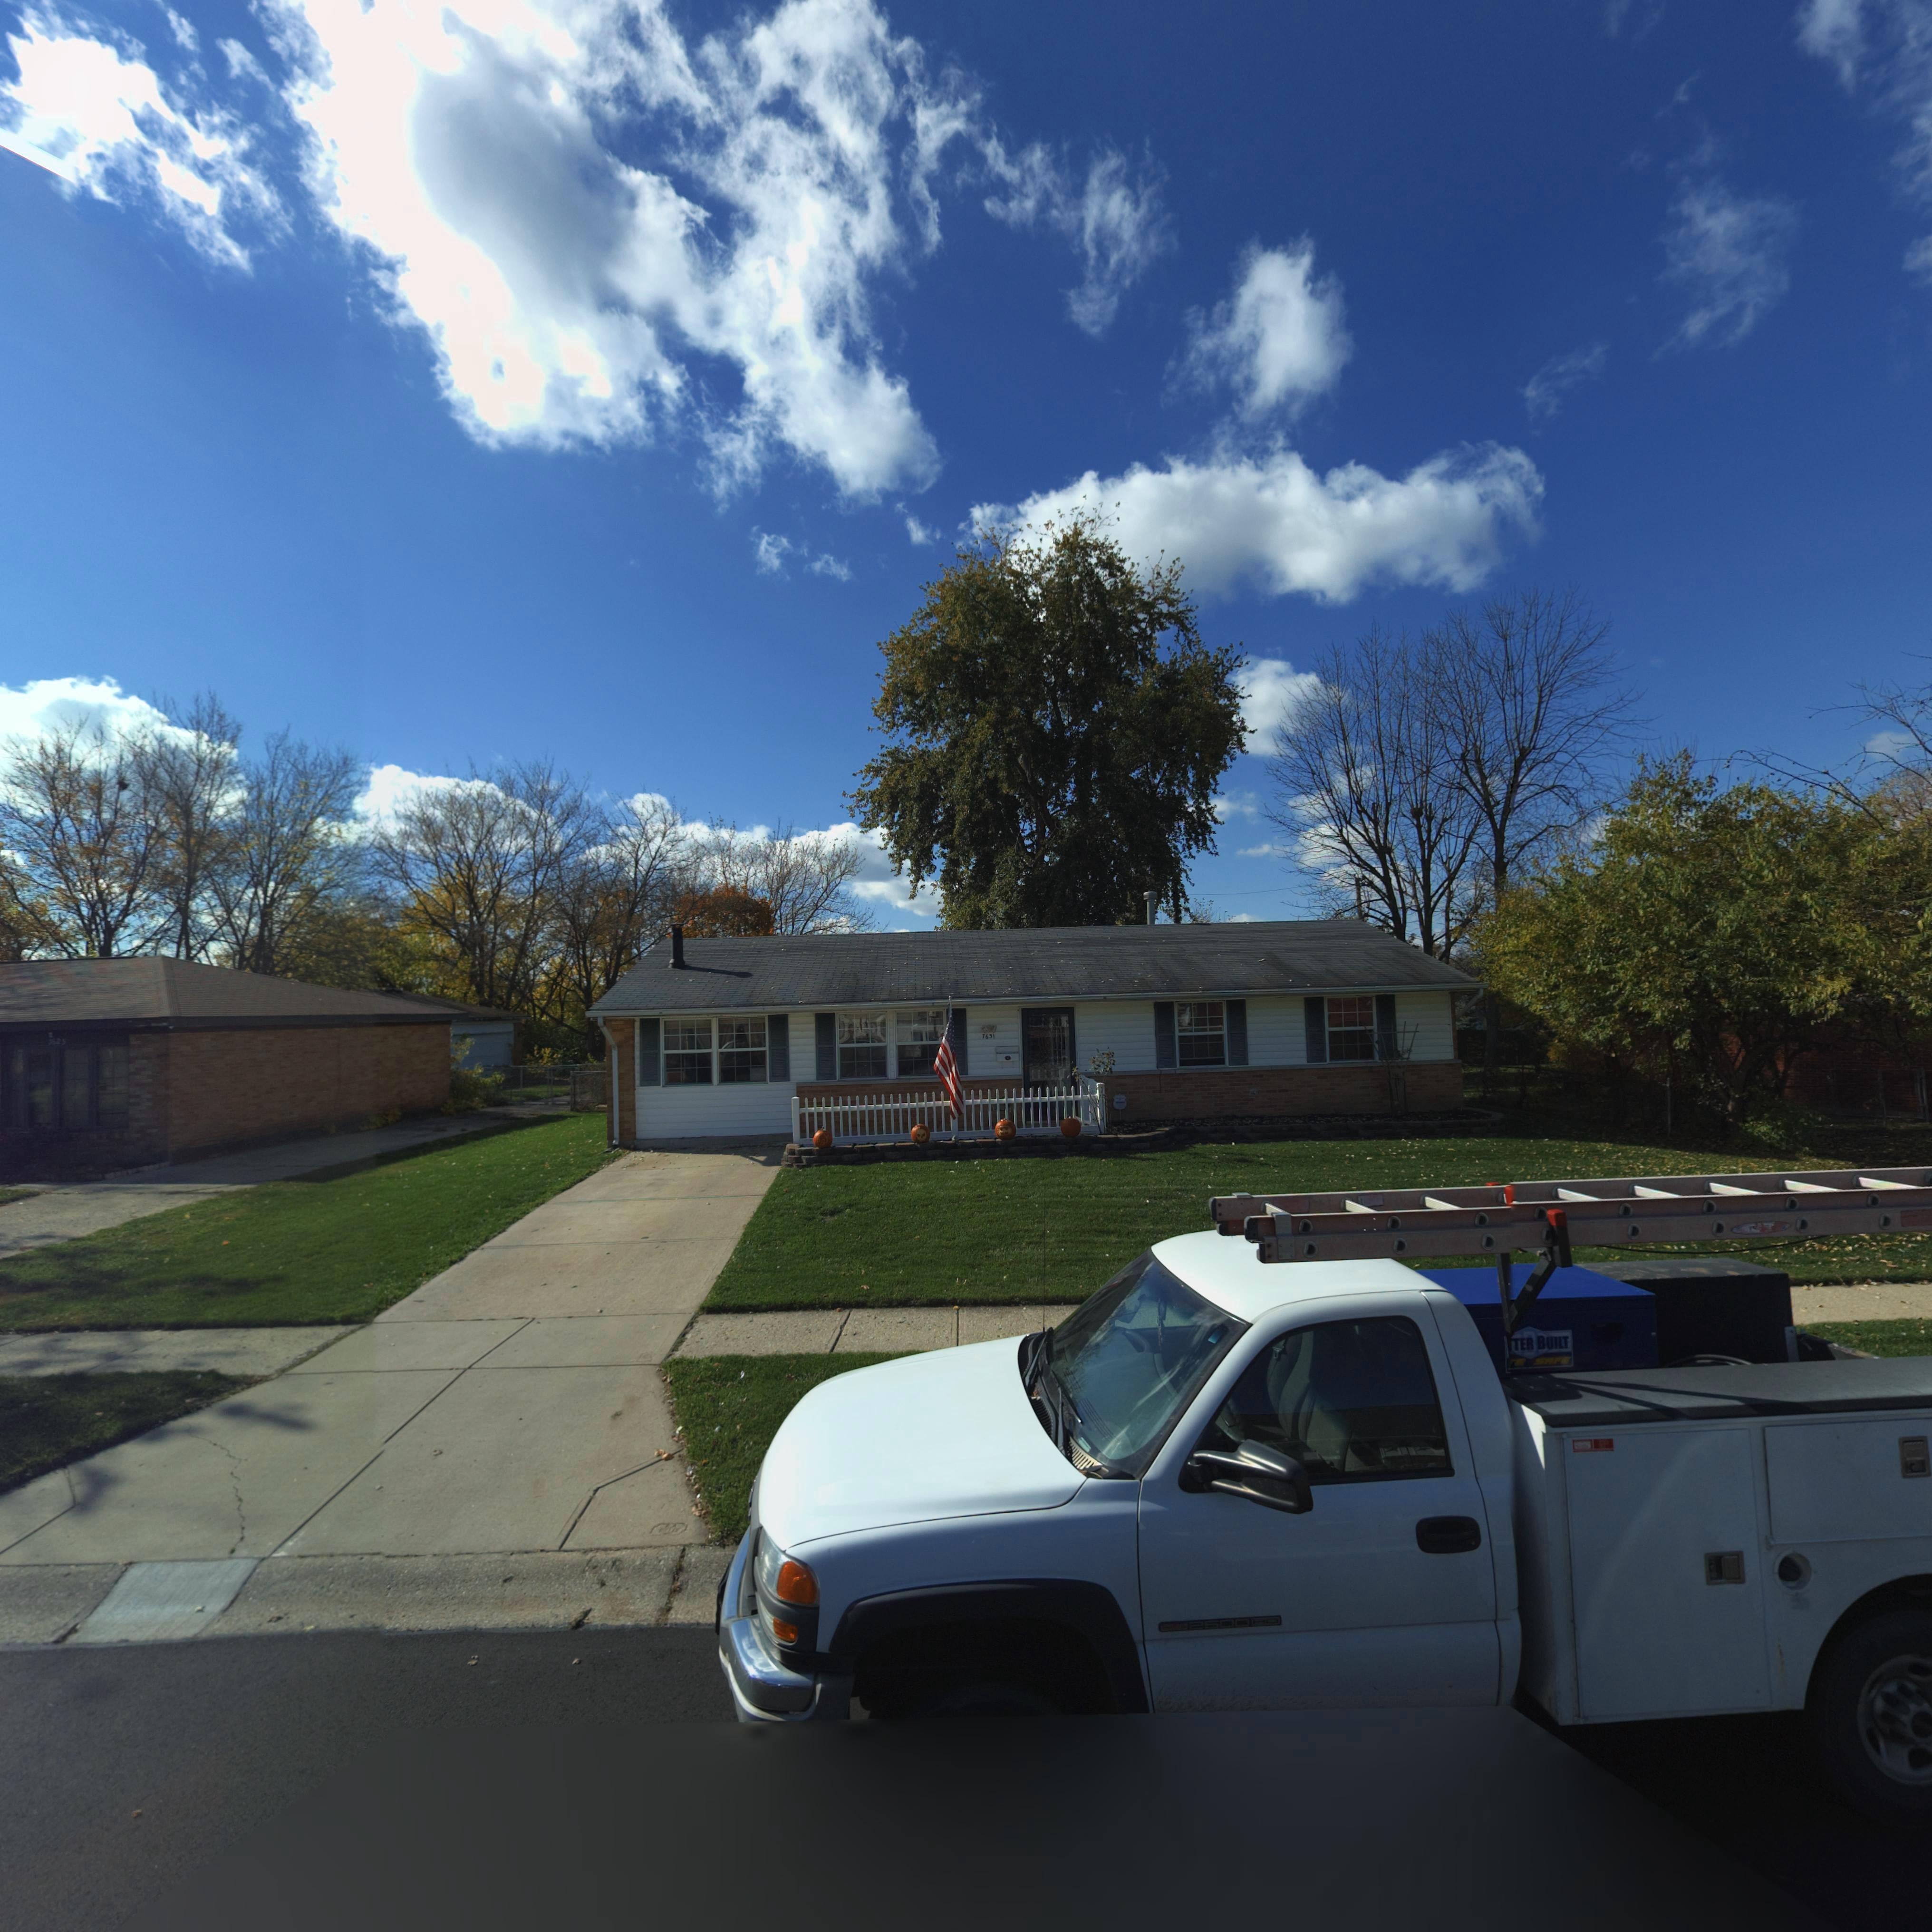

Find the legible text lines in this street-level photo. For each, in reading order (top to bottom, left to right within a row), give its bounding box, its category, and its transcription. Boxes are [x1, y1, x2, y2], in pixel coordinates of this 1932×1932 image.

[981, 1033, 995, 1040] StreetNumber: 7631
[48, 1037, 67, 1045] StreetNumber: 7625